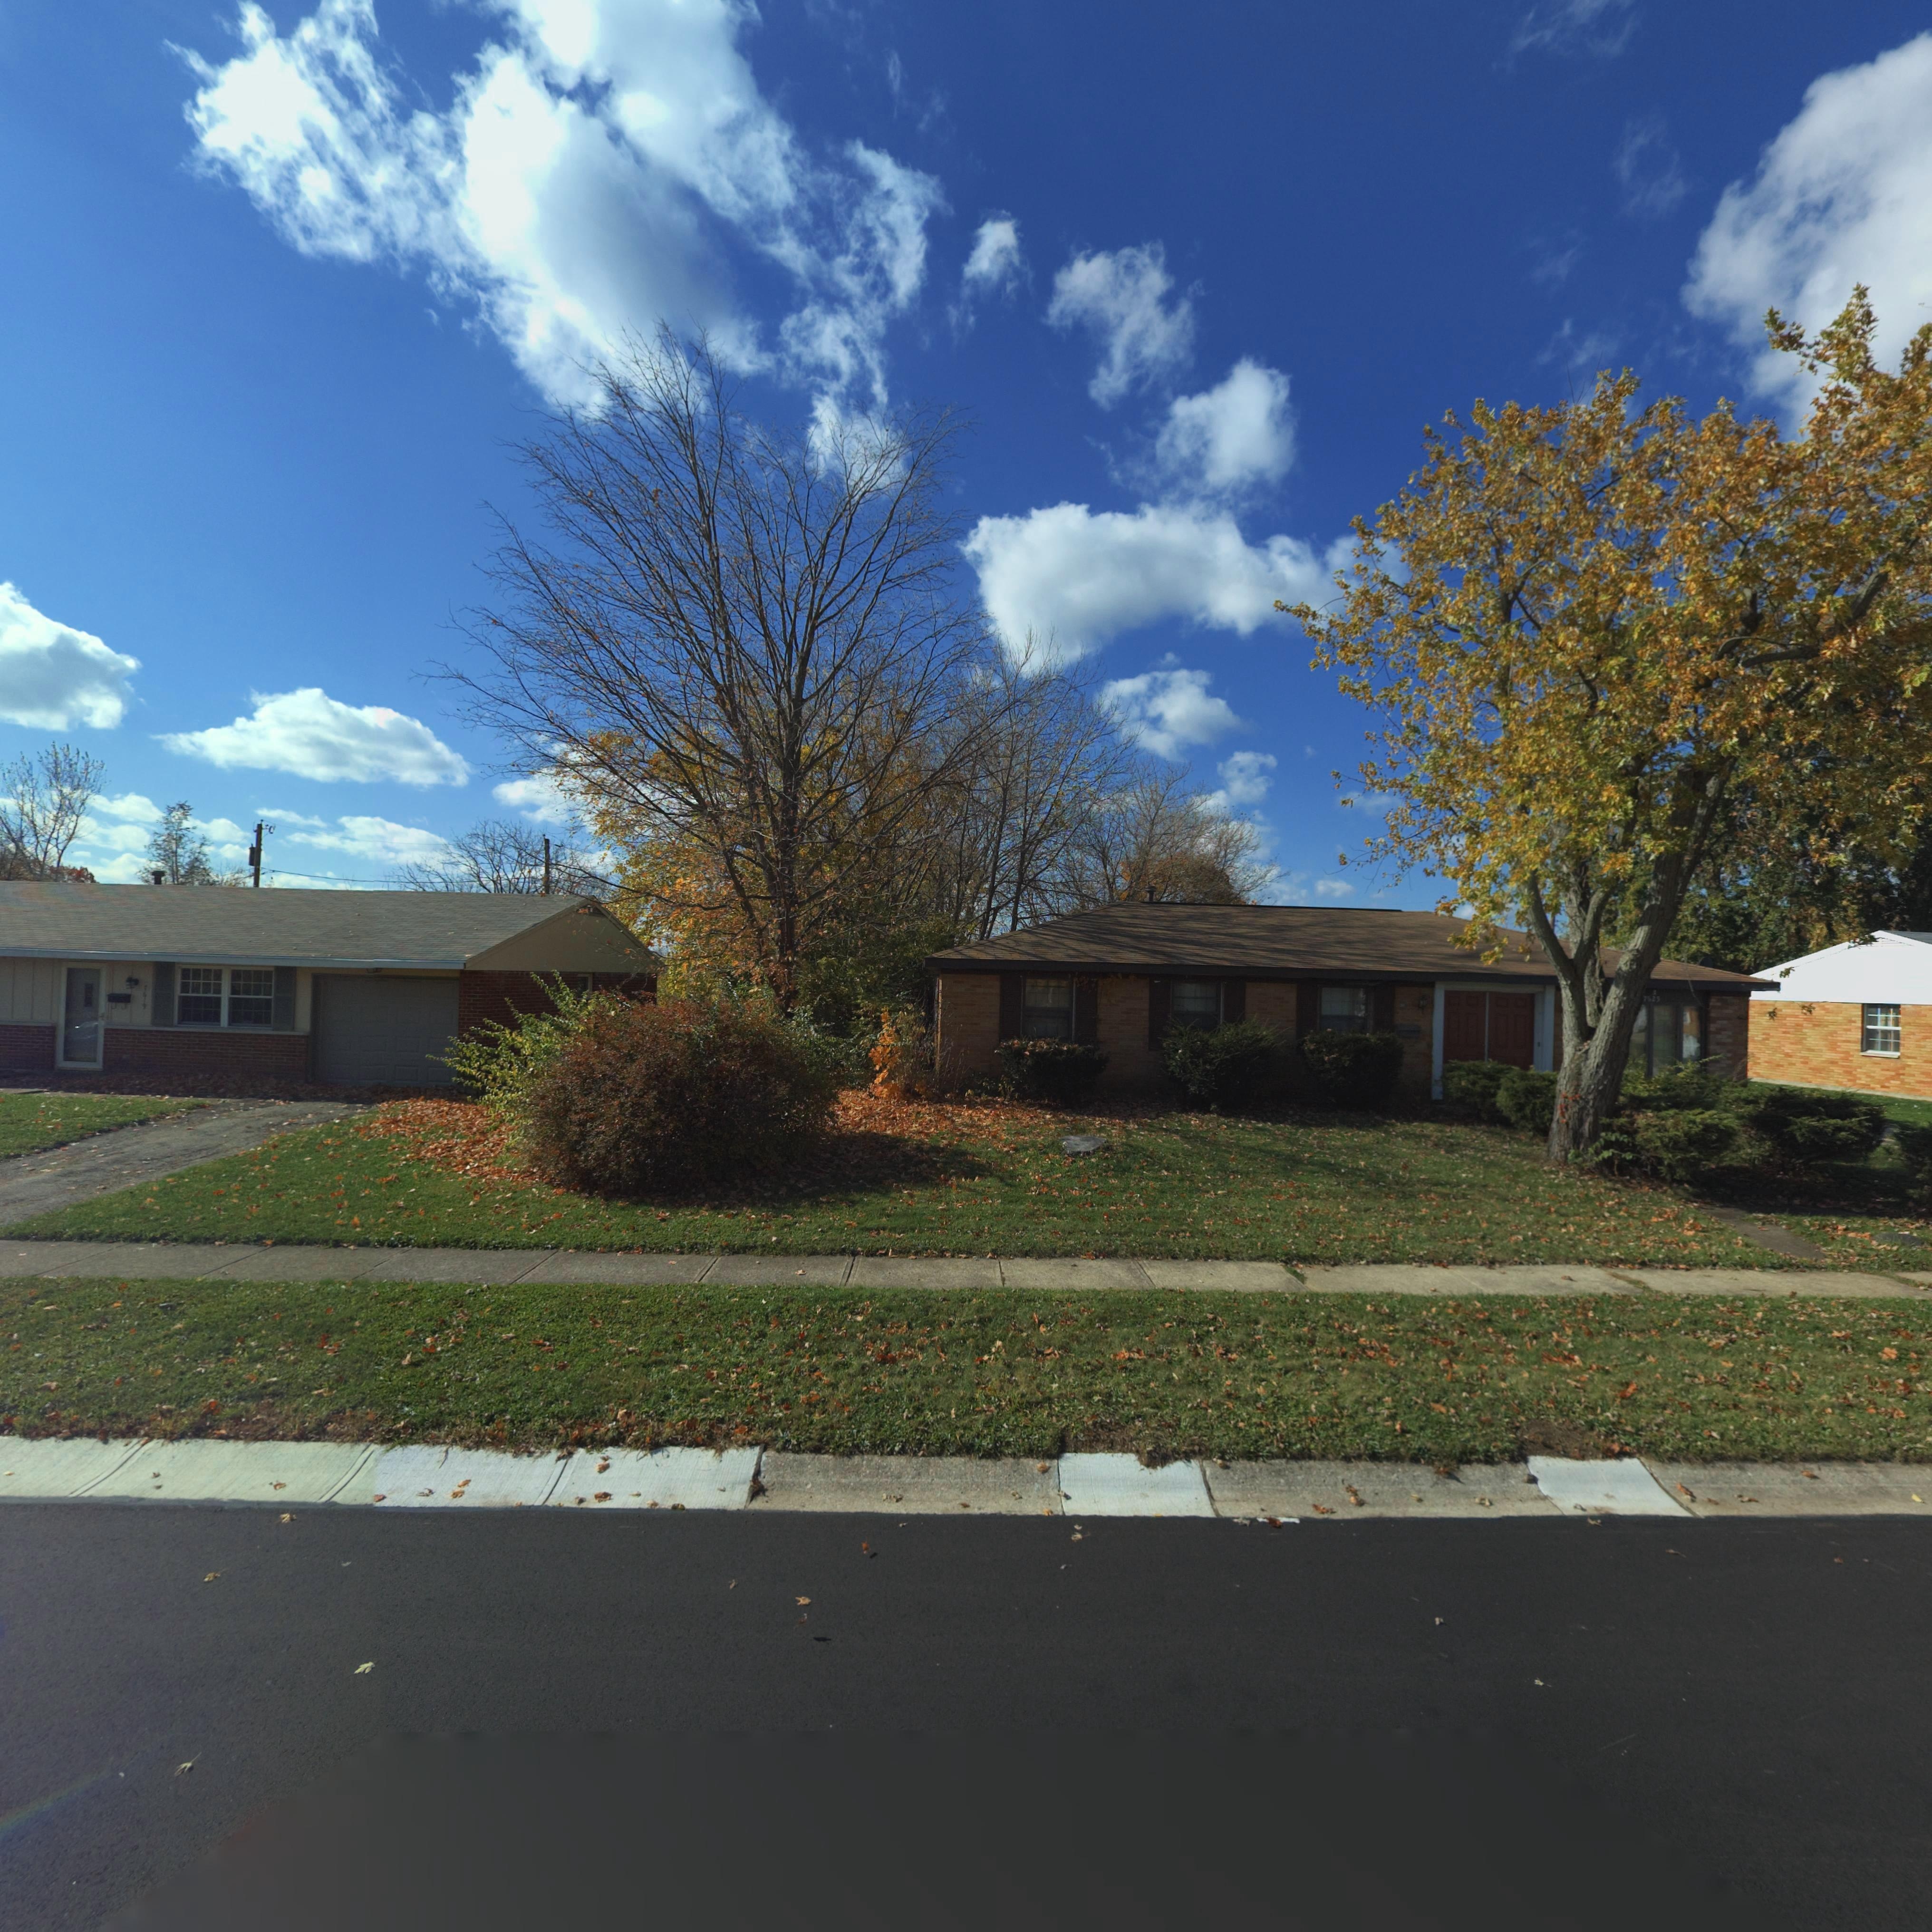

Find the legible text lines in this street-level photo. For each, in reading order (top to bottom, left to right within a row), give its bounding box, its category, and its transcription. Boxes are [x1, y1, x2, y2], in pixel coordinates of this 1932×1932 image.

[141, 984, 148, 1010] StreetNumber: 7619
[1642, 995, 1662, 1003] StreetNumber: 7*25